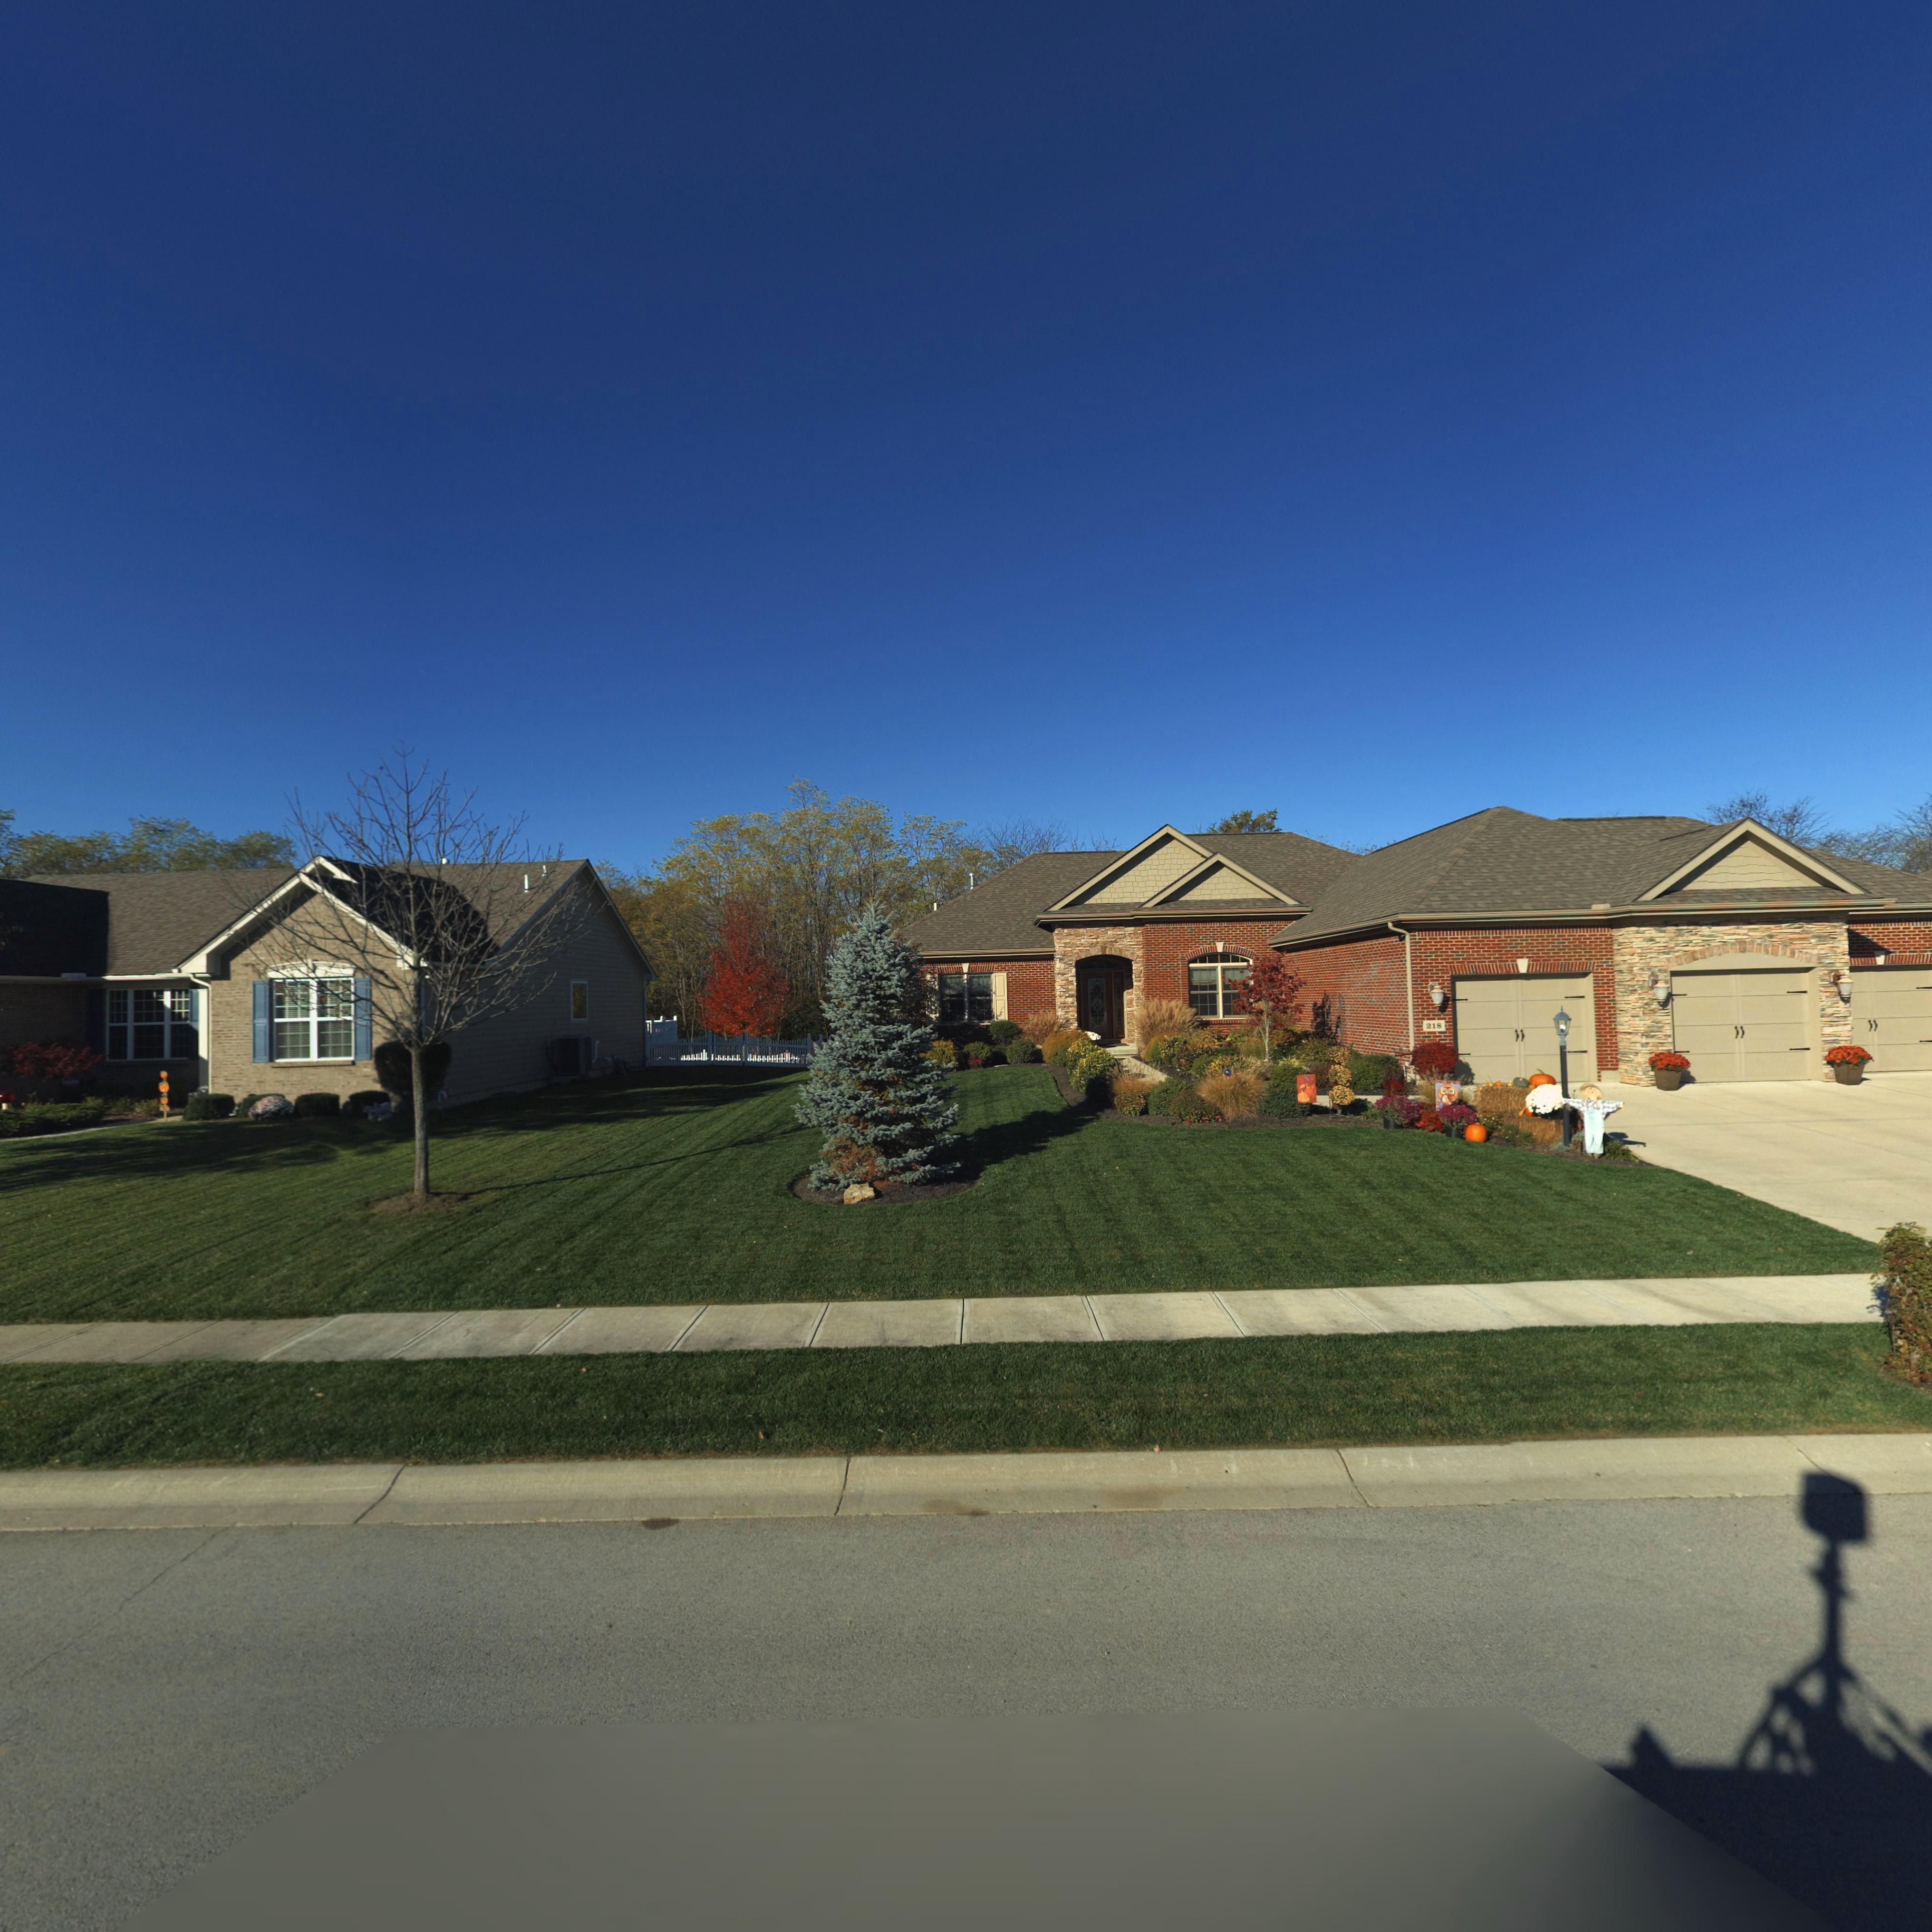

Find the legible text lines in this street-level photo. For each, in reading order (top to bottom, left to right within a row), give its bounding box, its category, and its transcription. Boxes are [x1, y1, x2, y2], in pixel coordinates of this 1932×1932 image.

[1426, 1022, 1442, 1030] StreetNumber: 218